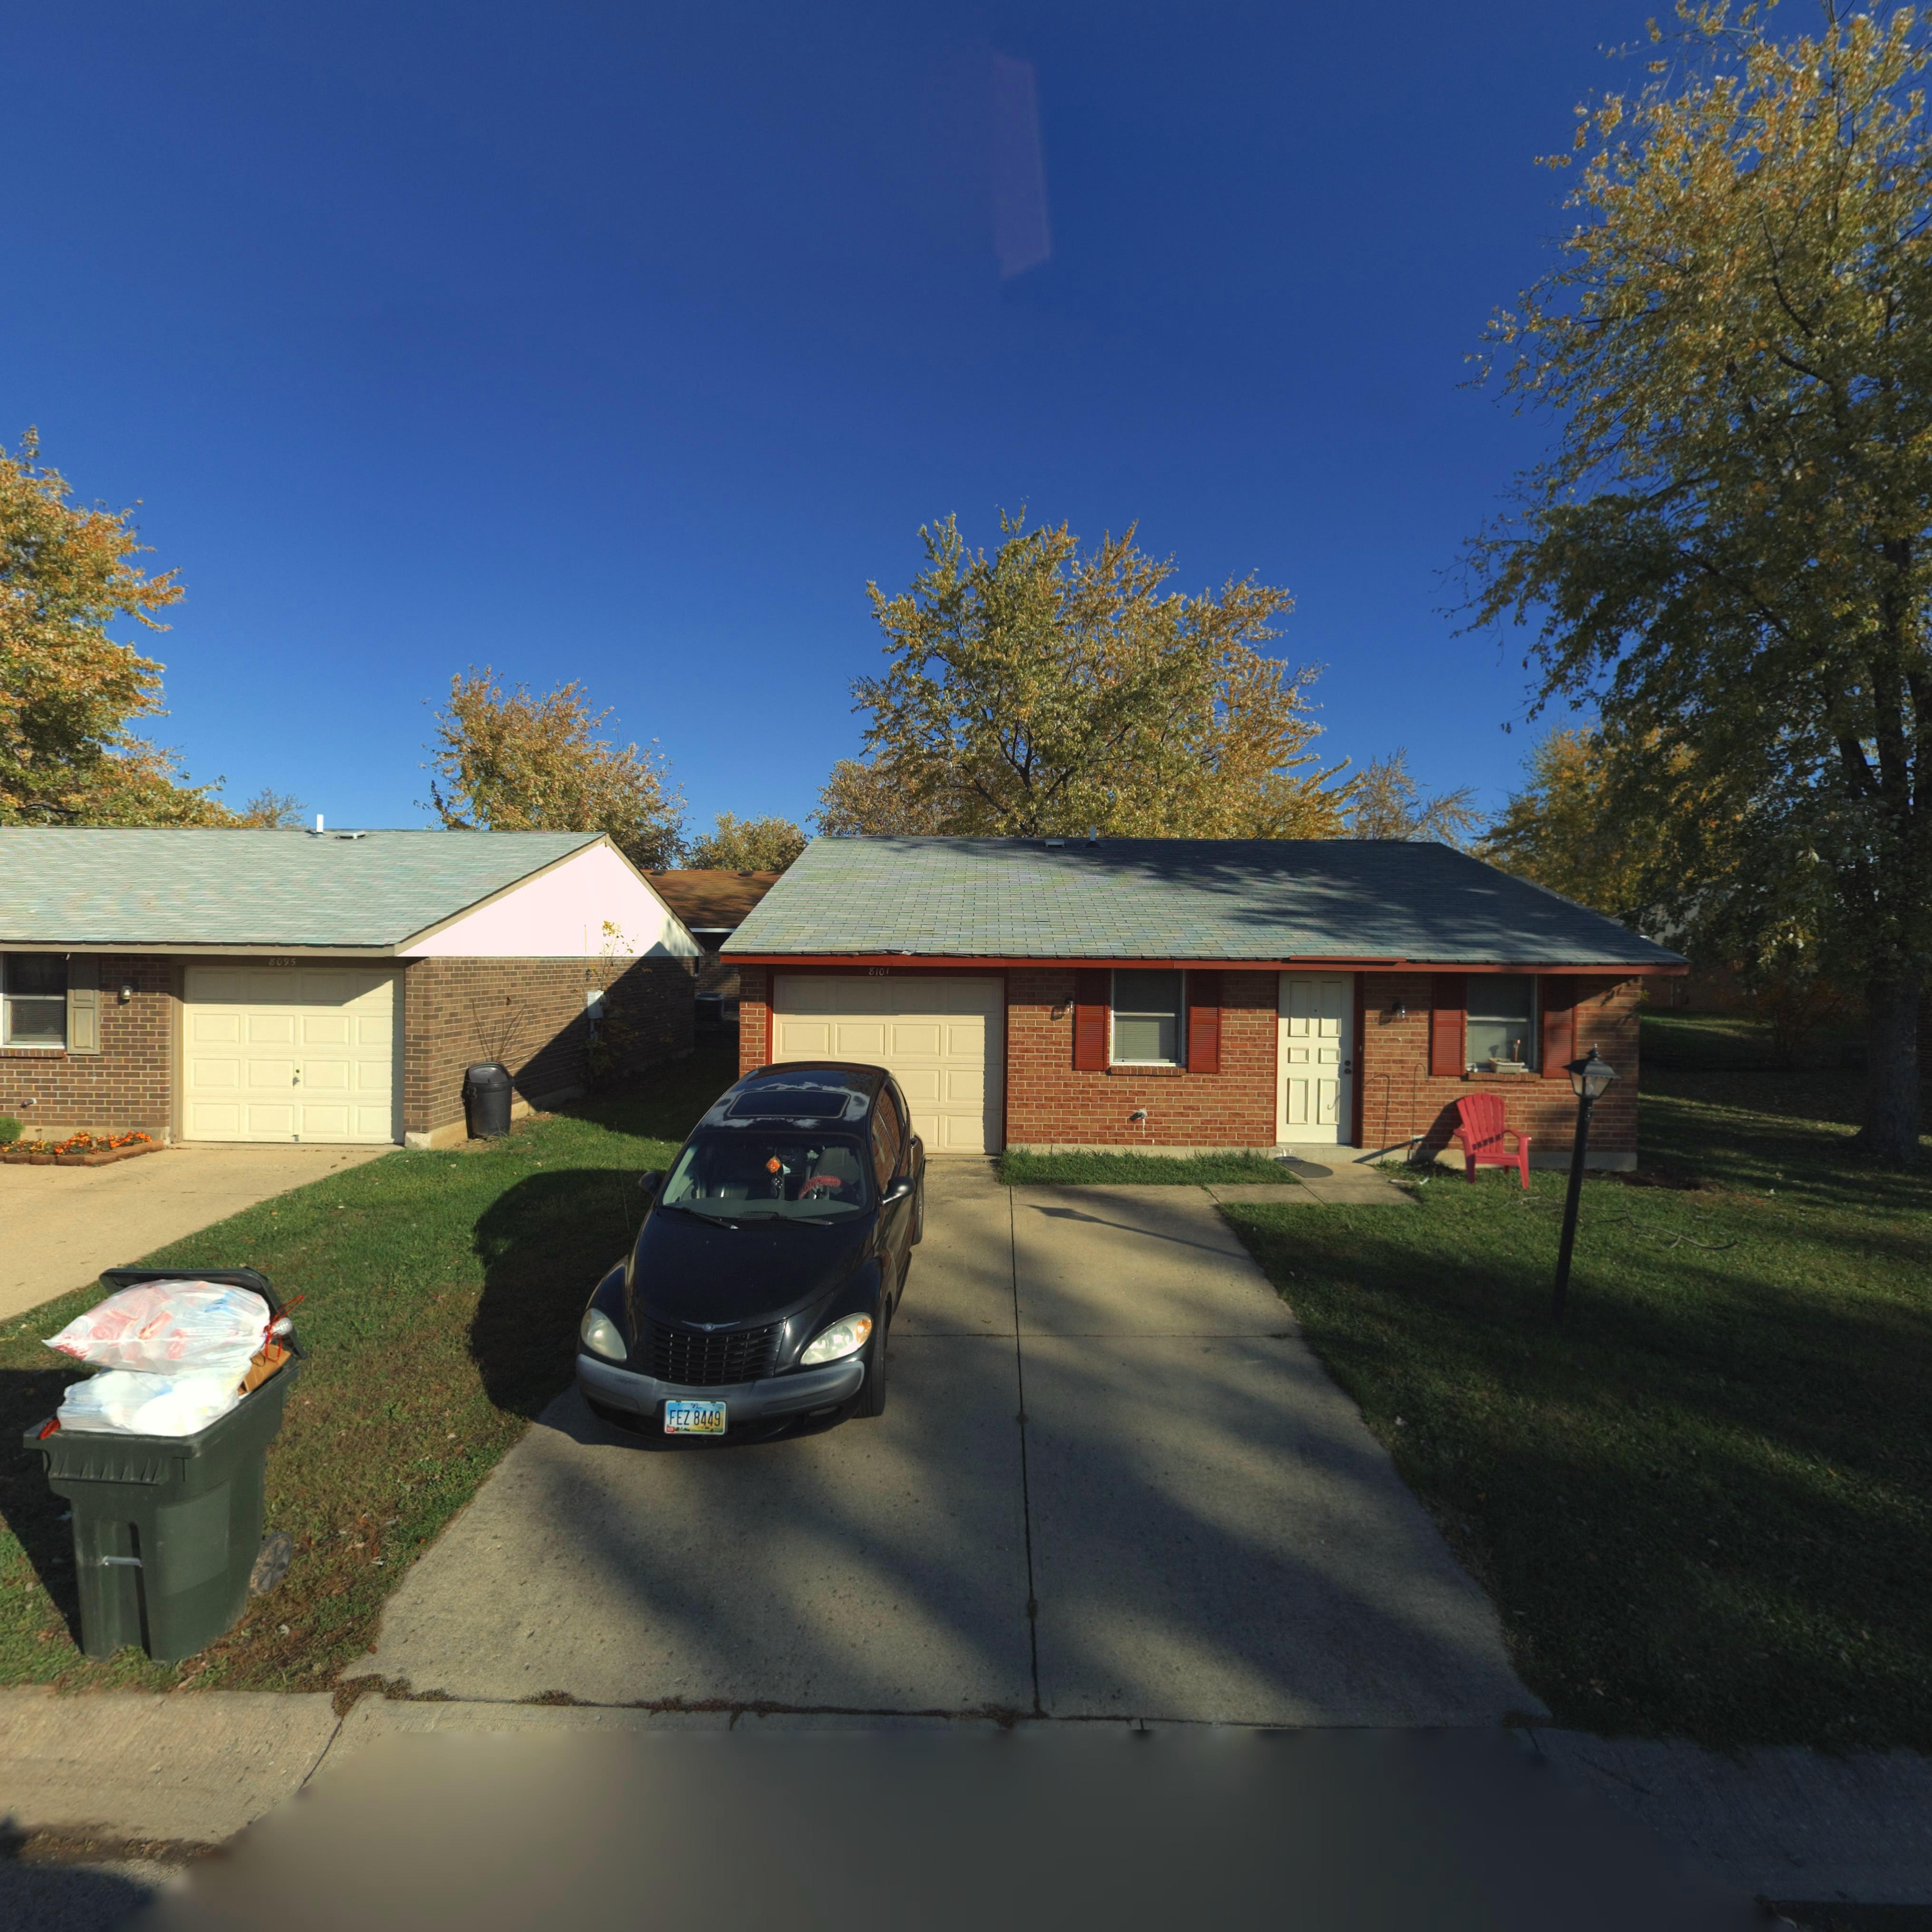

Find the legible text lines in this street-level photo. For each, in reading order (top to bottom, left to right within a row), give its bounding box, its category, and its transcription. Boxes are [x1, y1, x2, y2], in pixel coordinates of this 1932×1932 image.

[267, 956, 298, 967] StreetNumber: 8095
[868, 966, 890, 977] StreetNumber: 8101